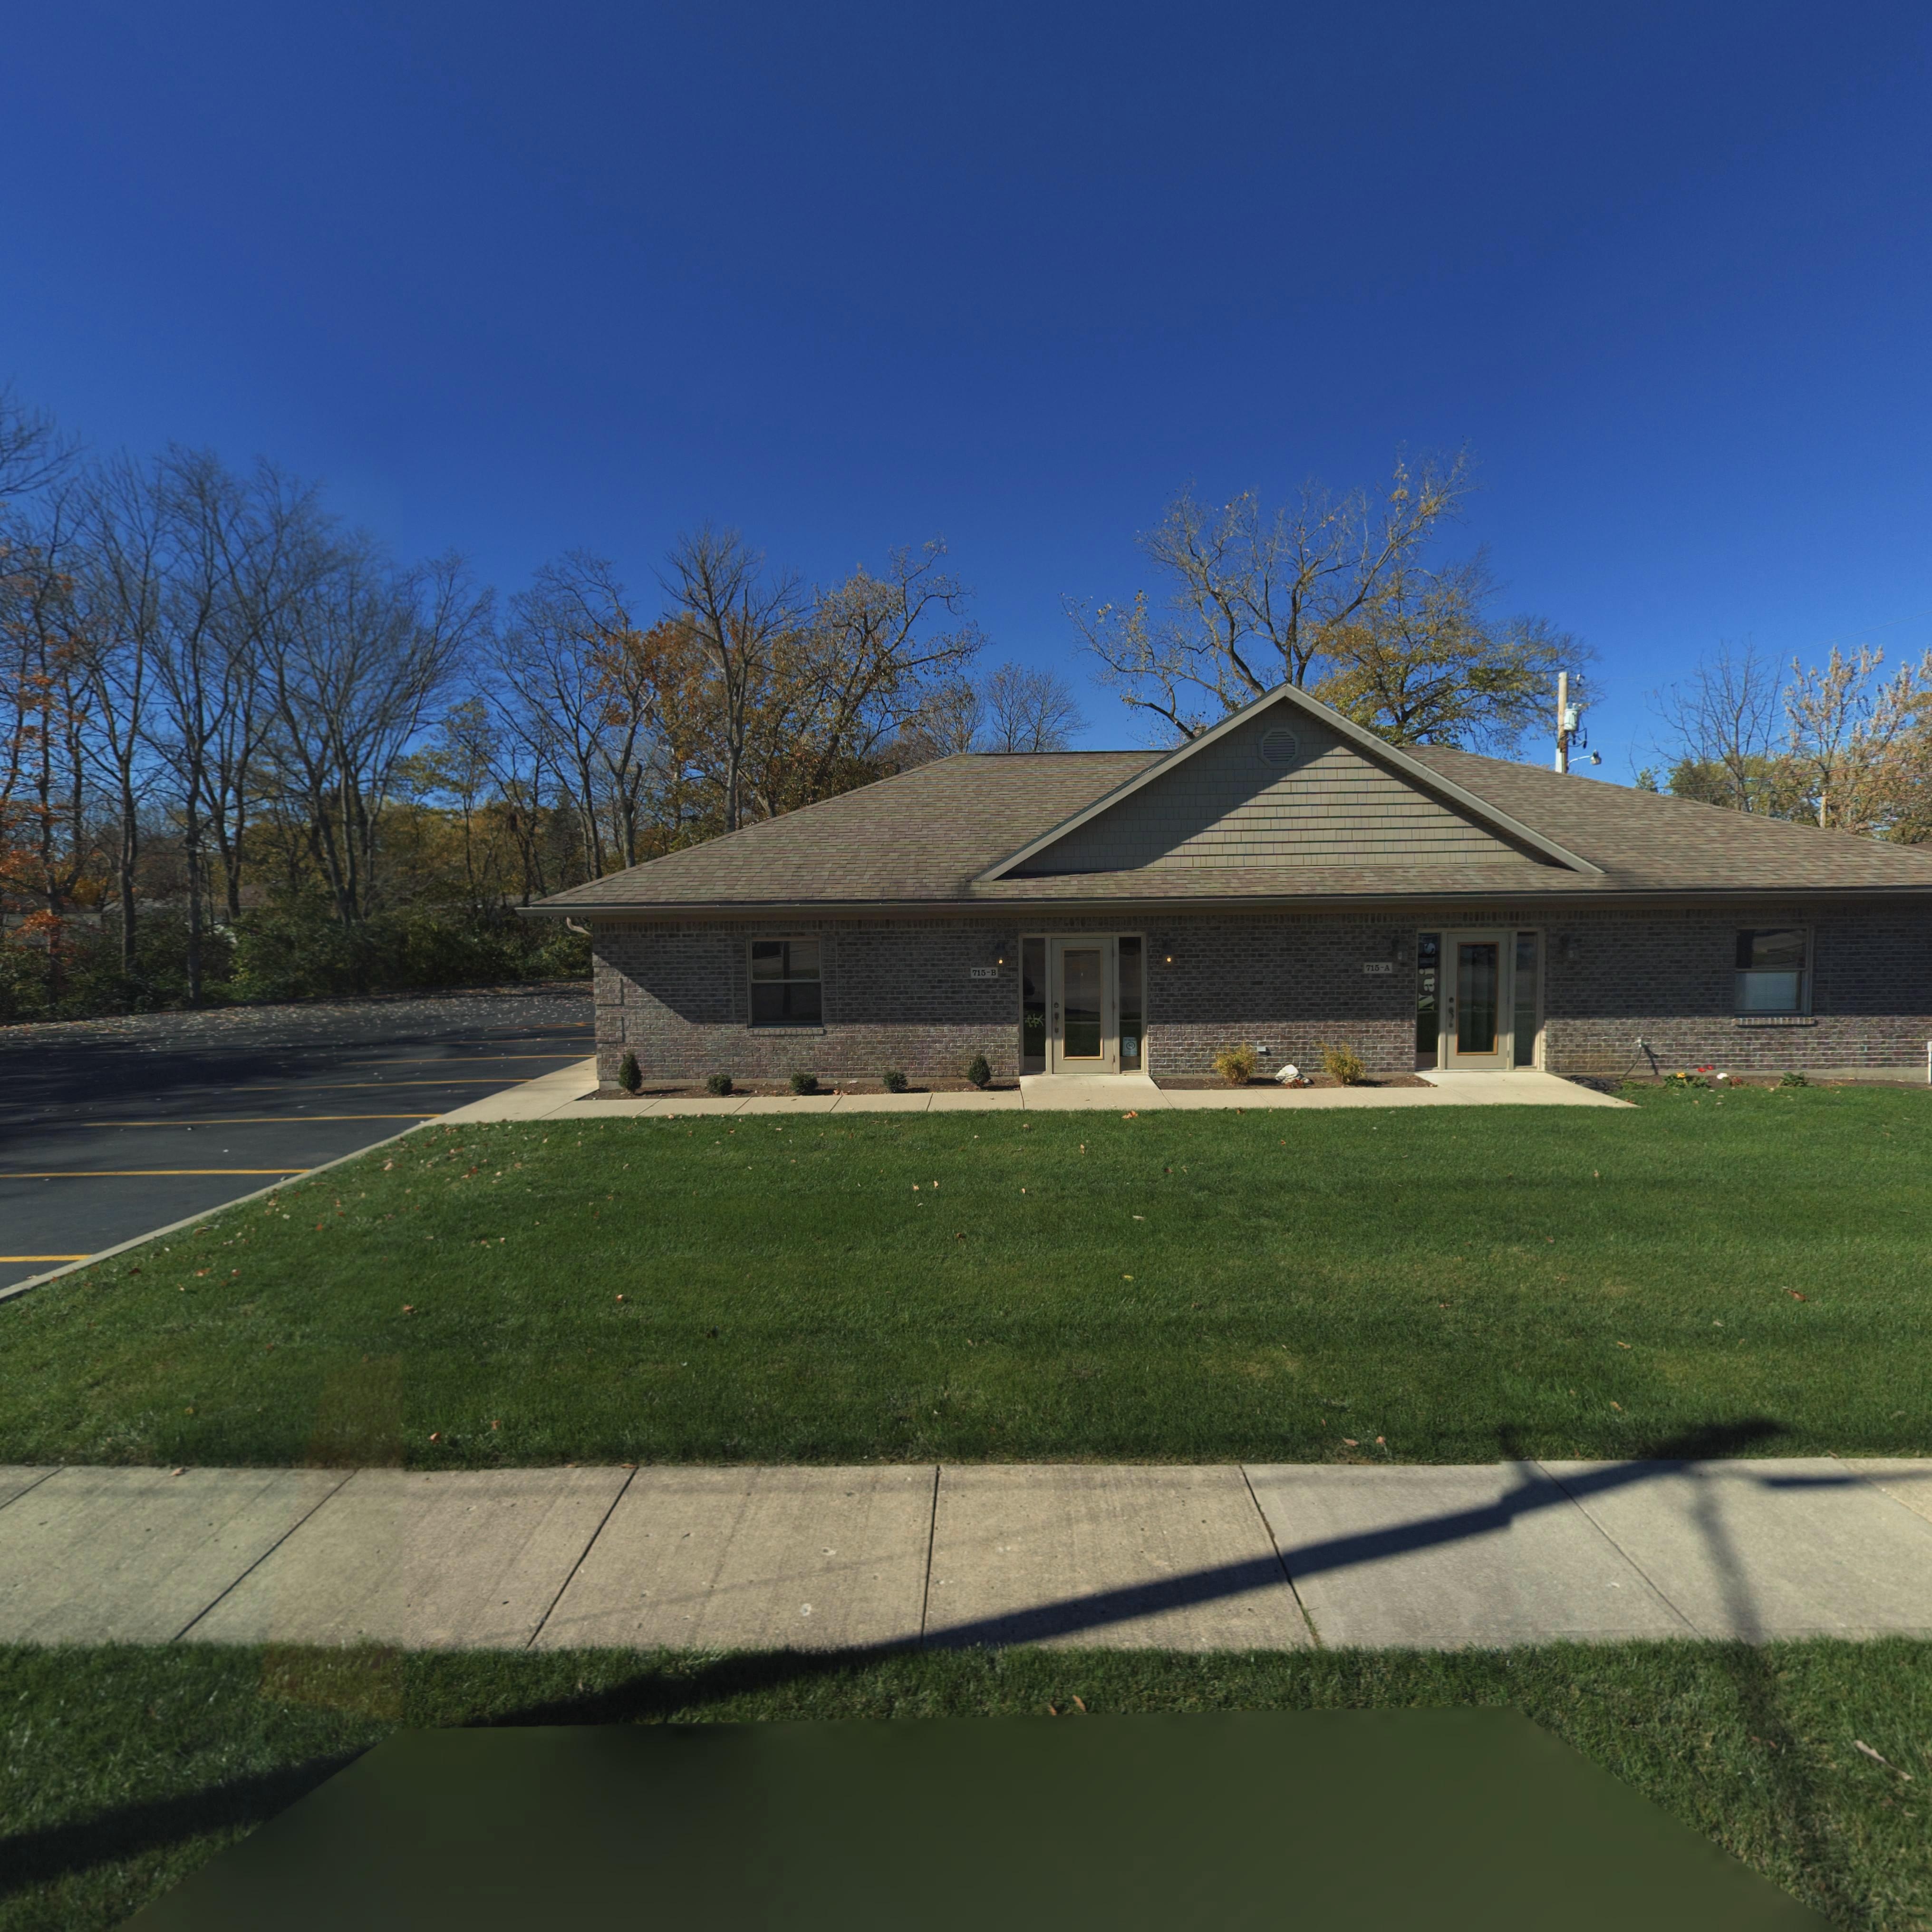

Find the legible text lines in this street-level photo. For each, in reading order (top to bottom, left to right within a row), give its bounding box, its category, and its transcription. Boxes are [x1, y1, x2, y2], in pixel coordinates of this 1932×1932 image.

[971, 967, 998, 978] StreetNumber: 715-B
[1364, 963, 1391, 973] StreetNumber: 715-A